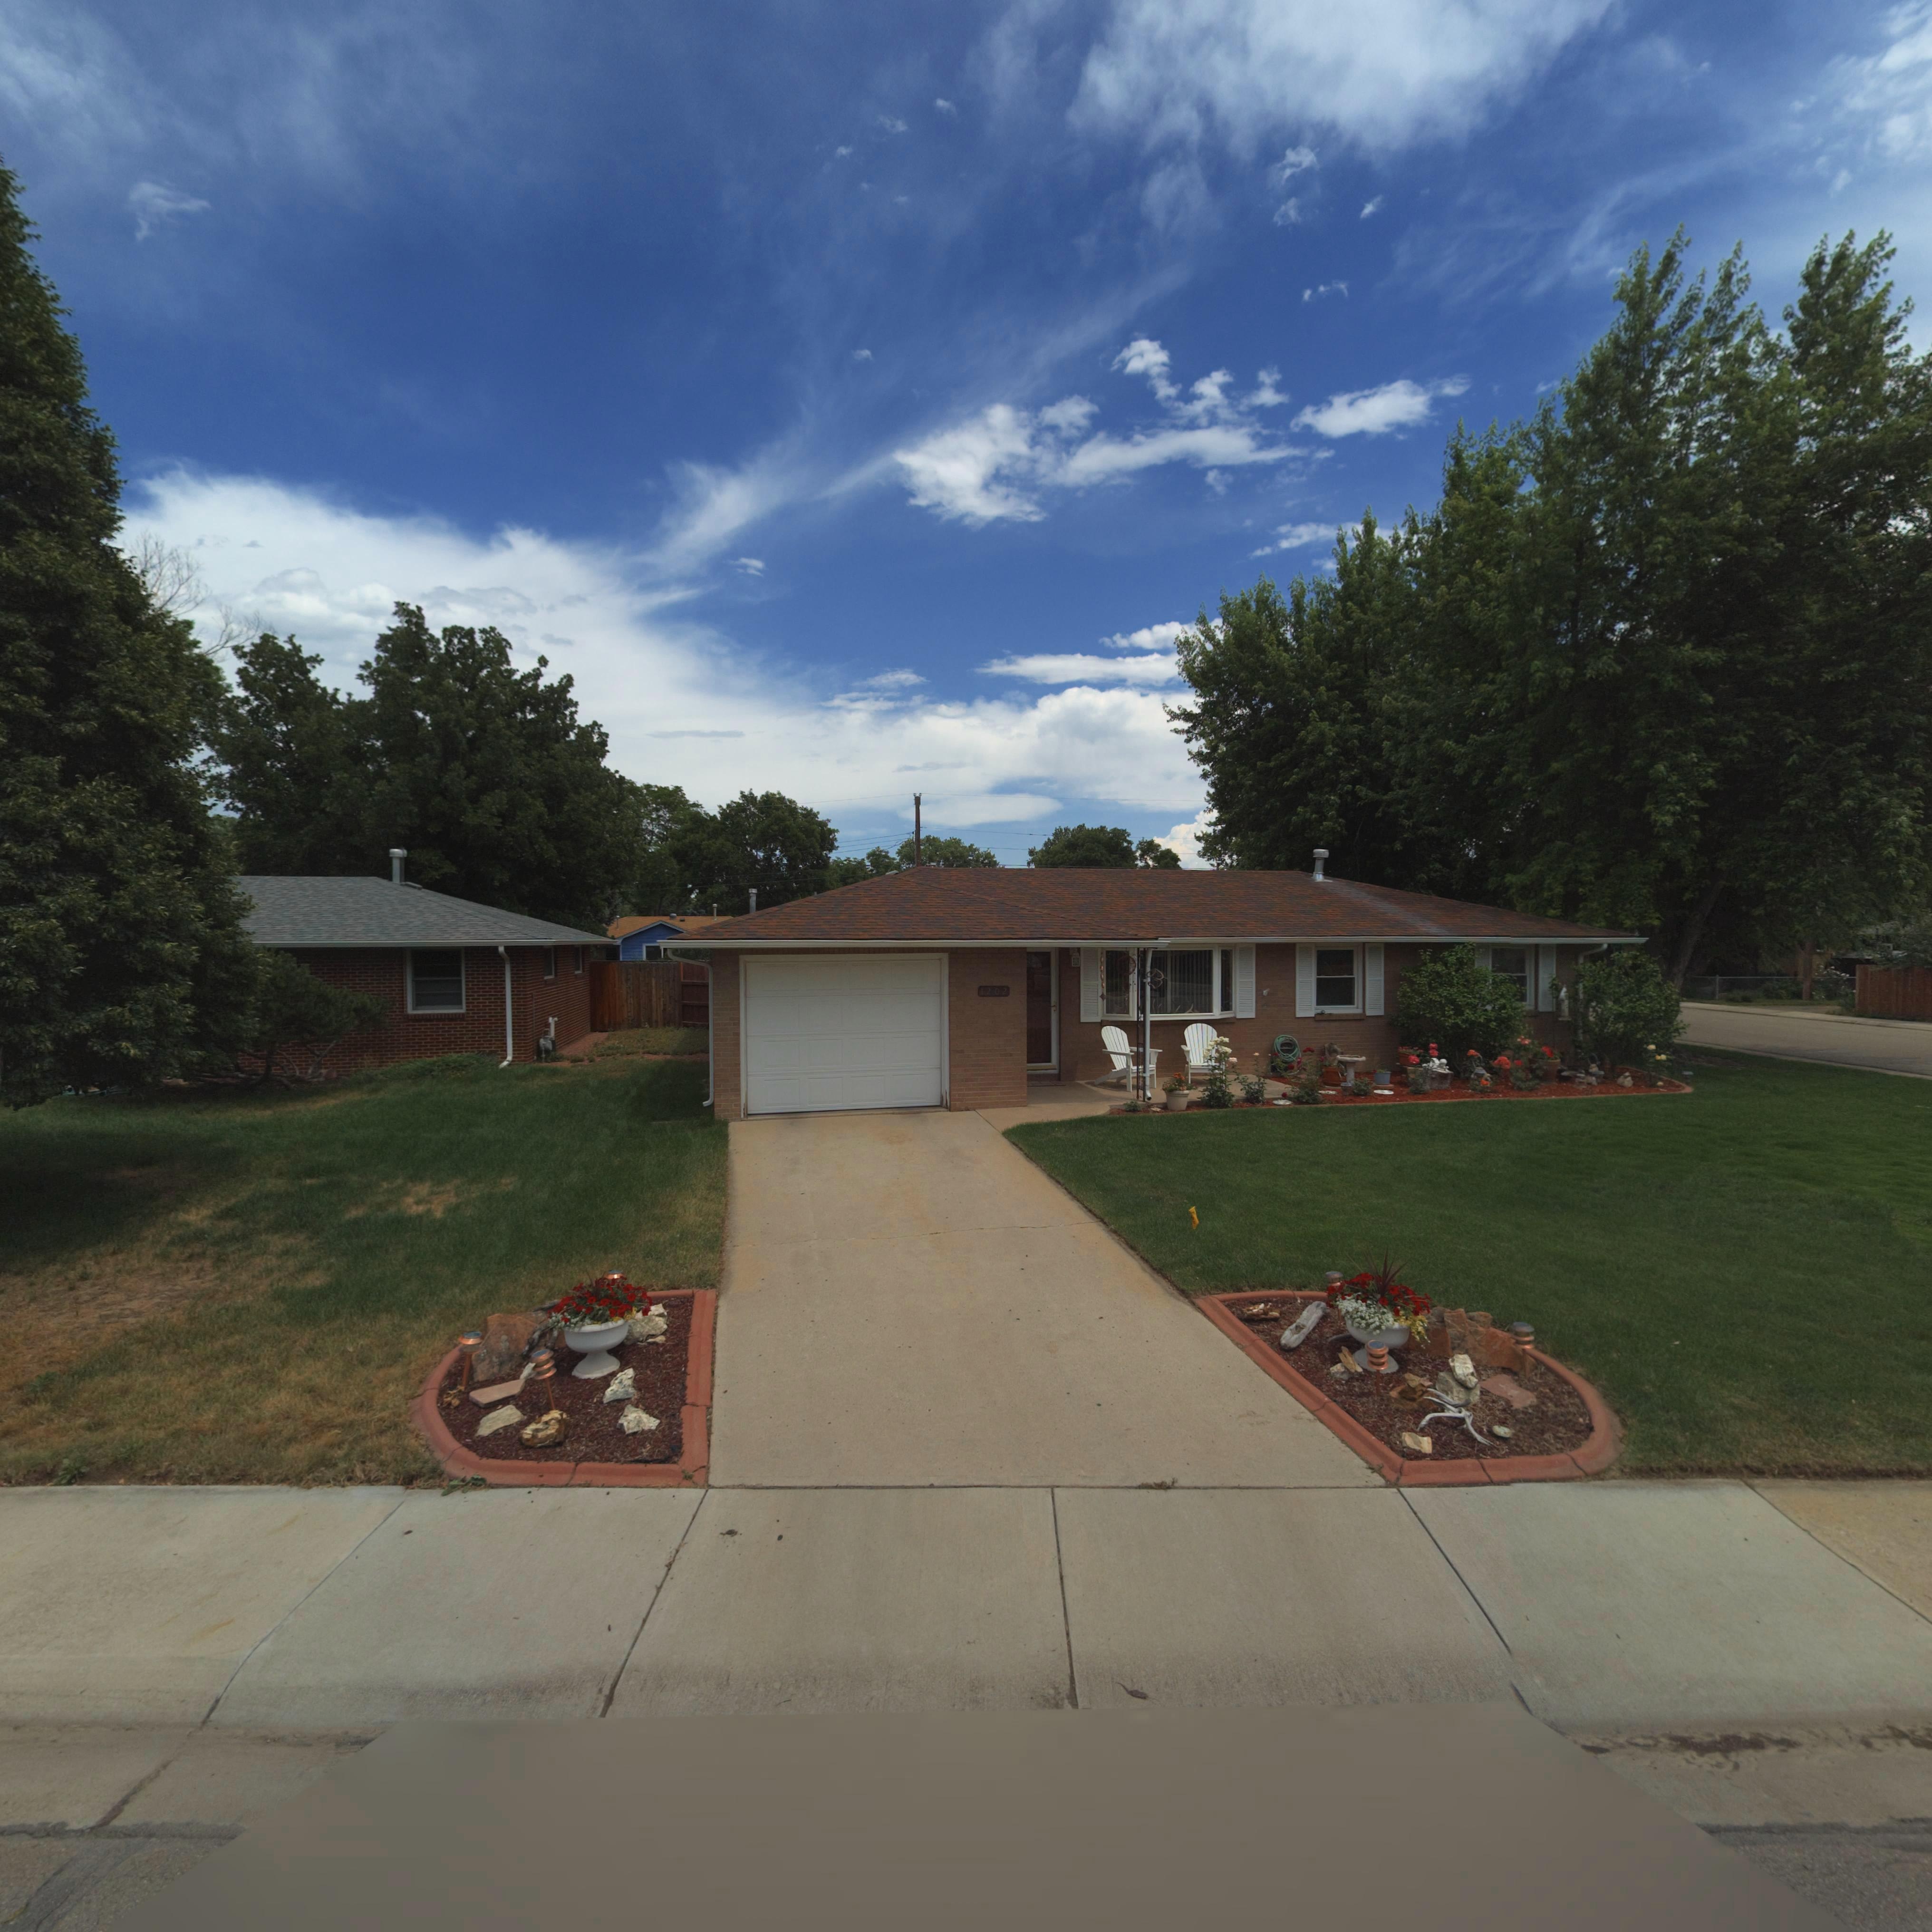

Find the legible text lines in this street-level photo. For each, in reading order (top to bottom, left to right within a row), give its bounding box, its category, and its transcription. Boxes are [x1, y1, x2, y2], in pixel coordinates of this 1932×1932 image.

[980, 987, 1007, 995] StreetNumber: 1202